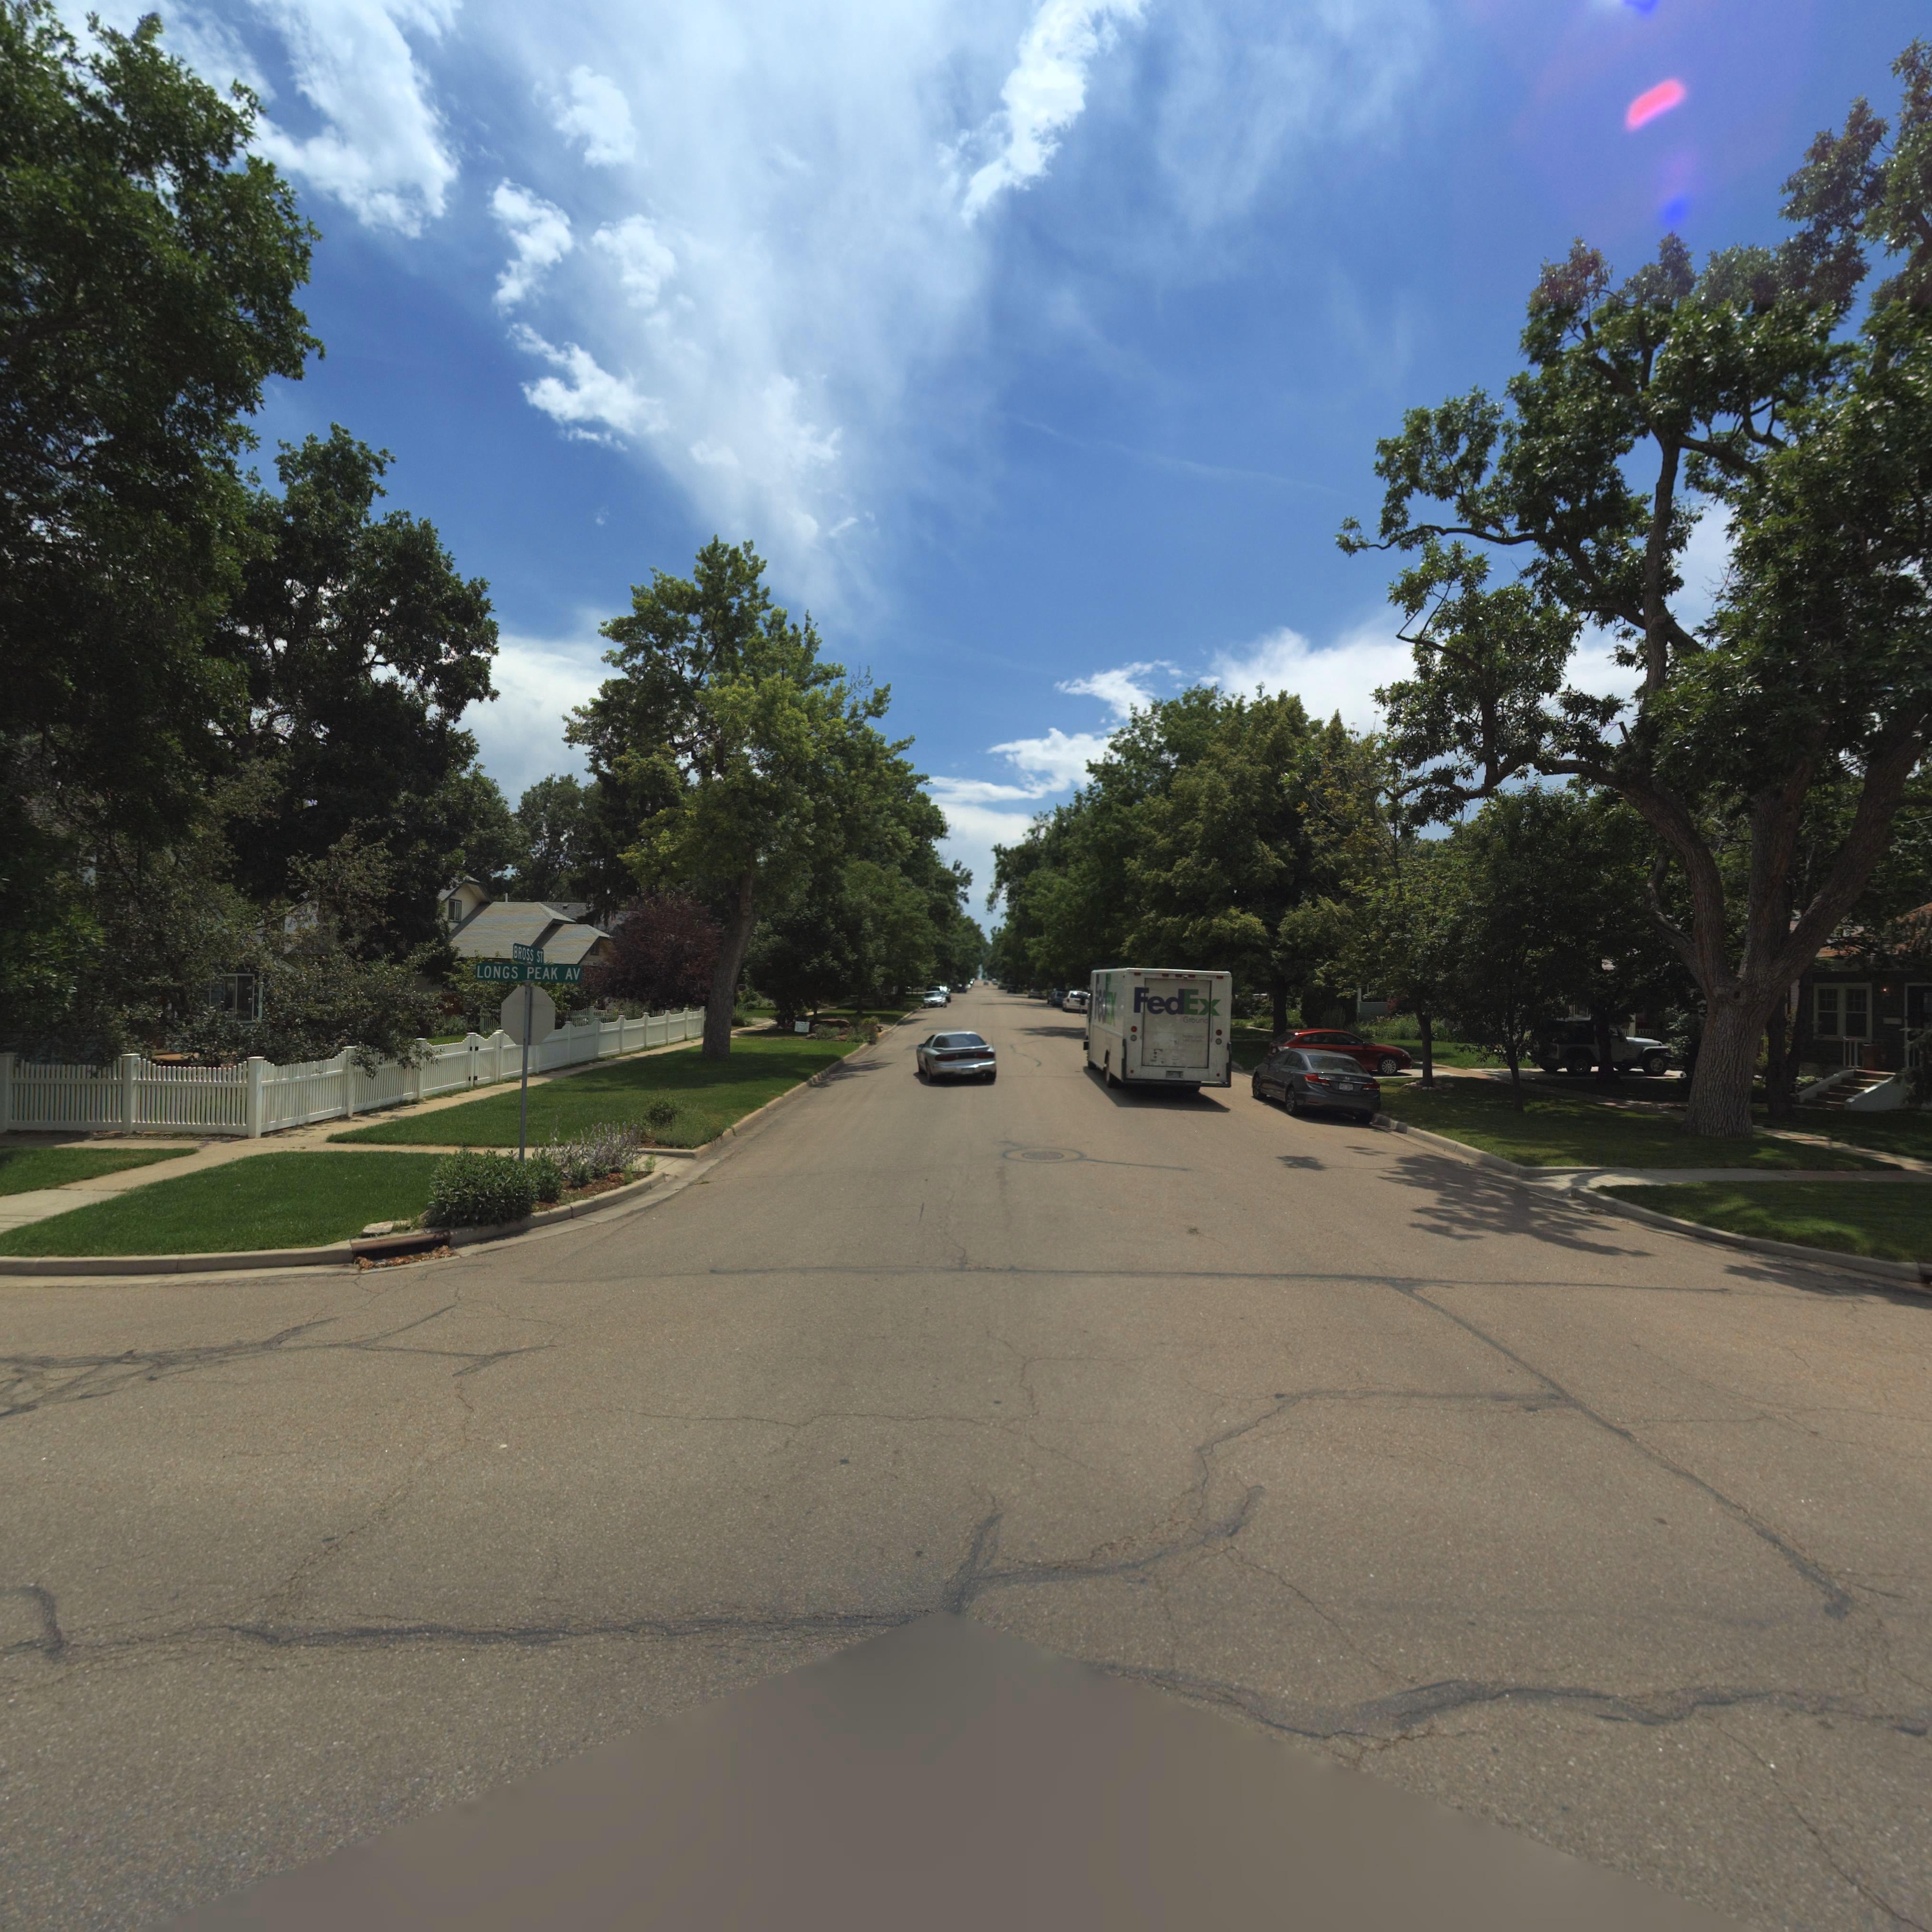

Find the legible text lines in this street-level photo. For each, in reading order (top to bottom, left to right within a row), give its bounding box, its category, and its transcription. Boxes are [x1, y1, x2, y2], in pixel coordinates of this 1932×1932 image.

[513, 945, 543, 963] StreetName: BROSS ST
[476, 965, 581, 980] StreetName: LONGS PEAK AV